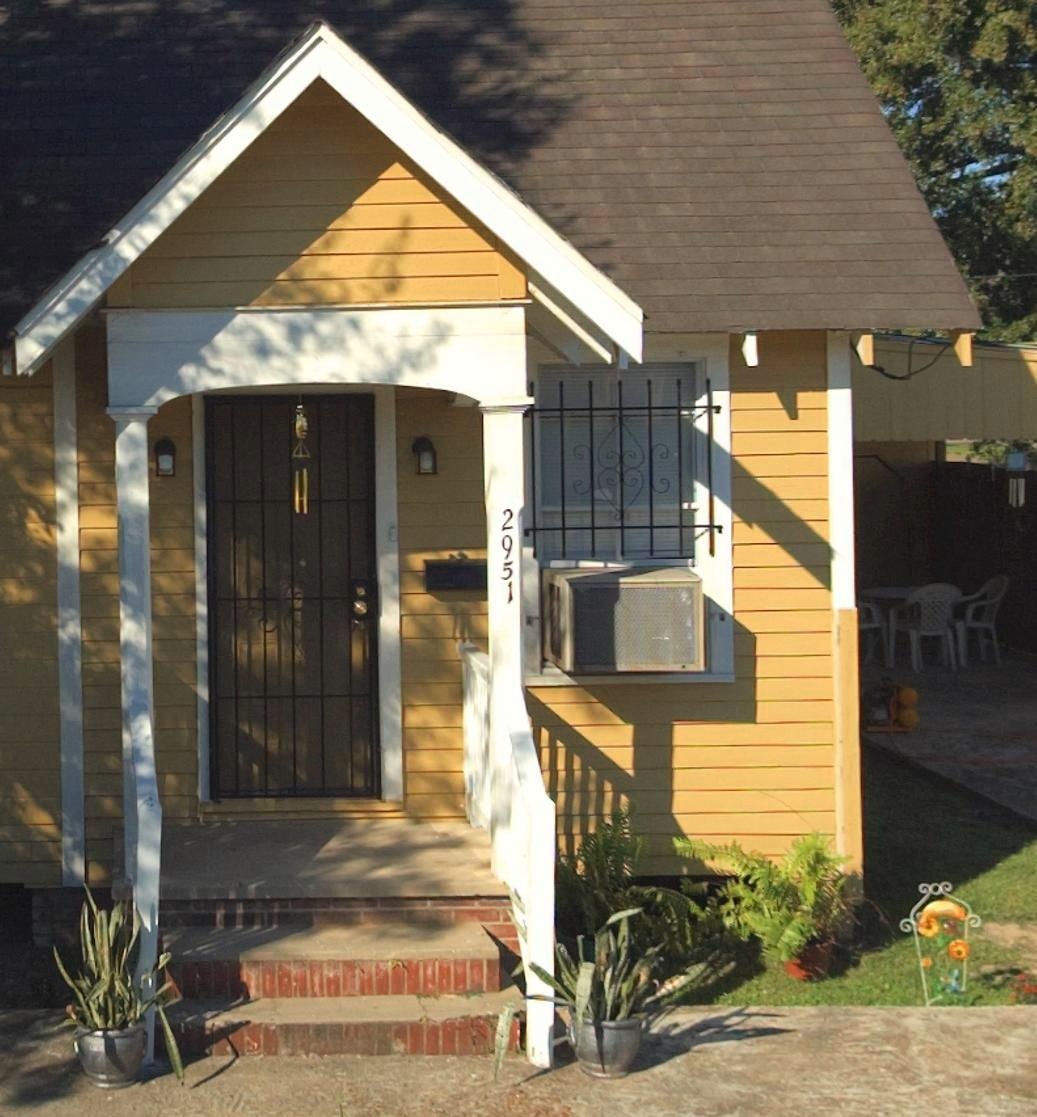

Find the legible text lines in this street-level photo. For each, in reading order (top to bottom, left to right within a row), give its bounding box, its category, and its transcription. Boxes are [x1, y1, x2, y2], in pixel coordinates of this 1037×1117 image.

[499, 506, 516, 607] StreetNumber: 2951